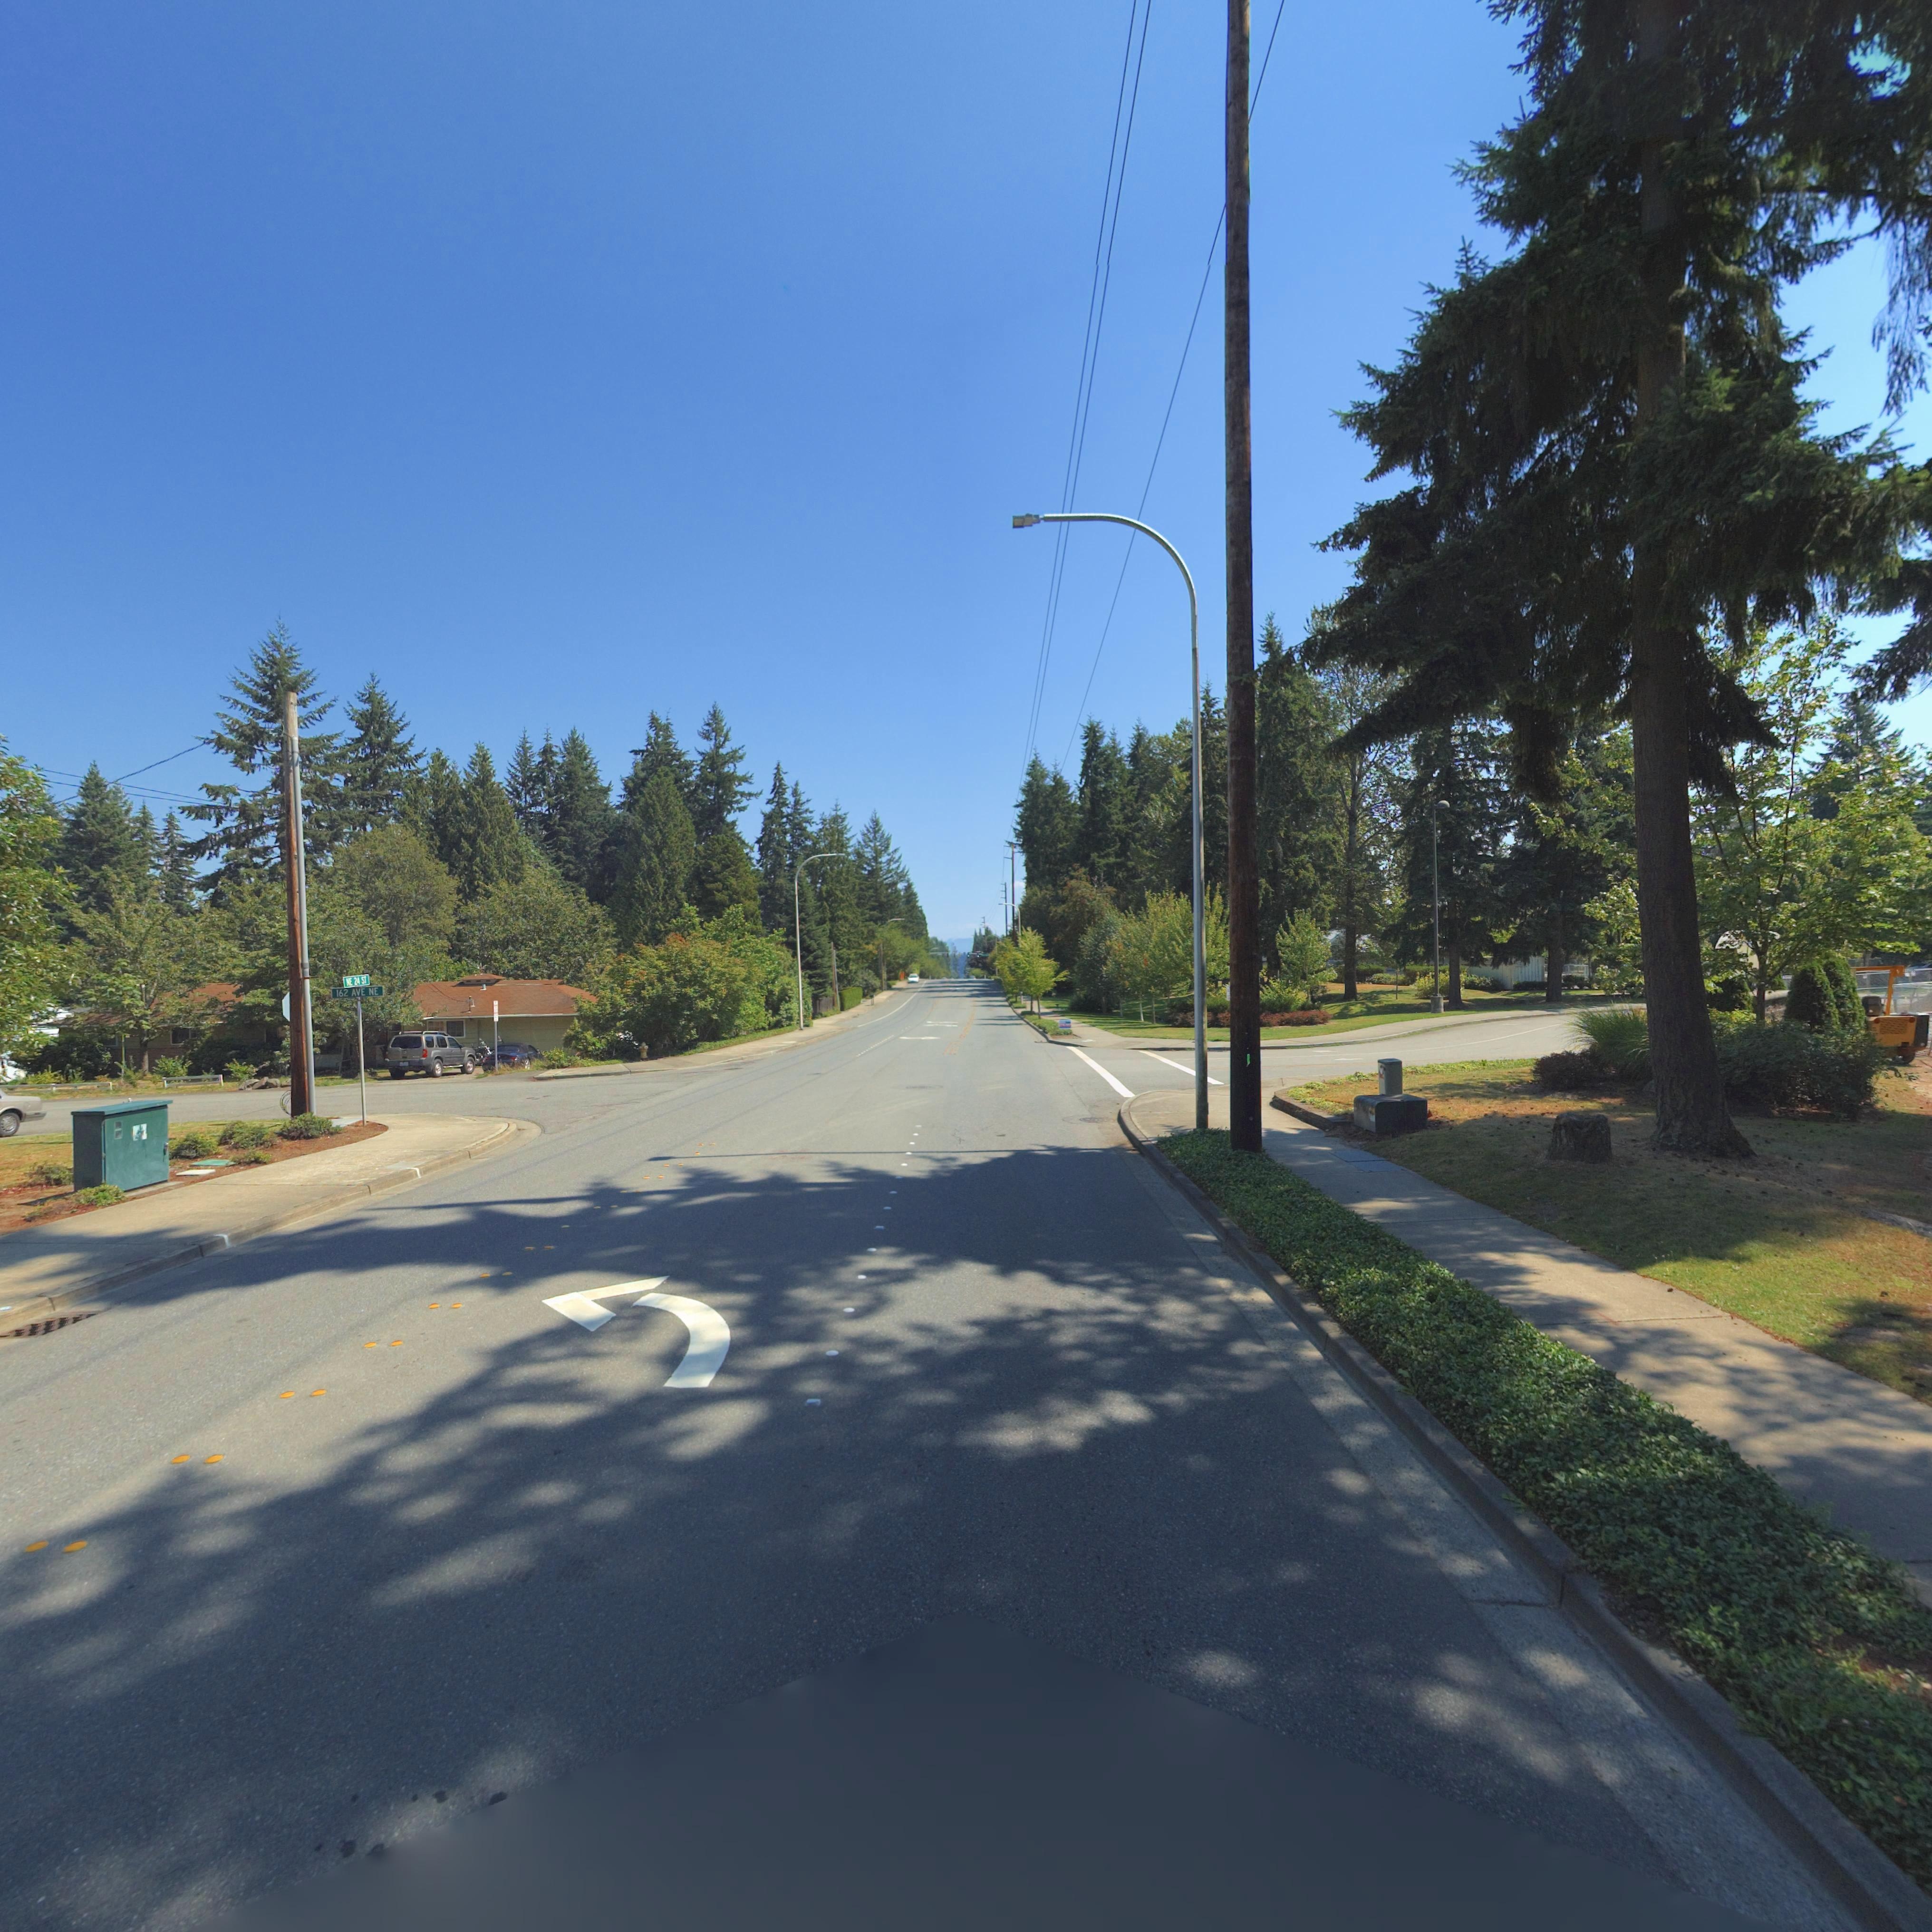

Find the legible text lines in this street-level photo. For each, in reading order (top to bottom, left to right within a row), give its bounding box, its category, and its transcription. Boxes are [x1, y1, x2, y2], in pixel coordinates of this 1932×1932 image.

[346, 976, 367, 986] StreetName: *E 24 ST
[336, 987, 379, 997] StreetName: 162 AVE NE